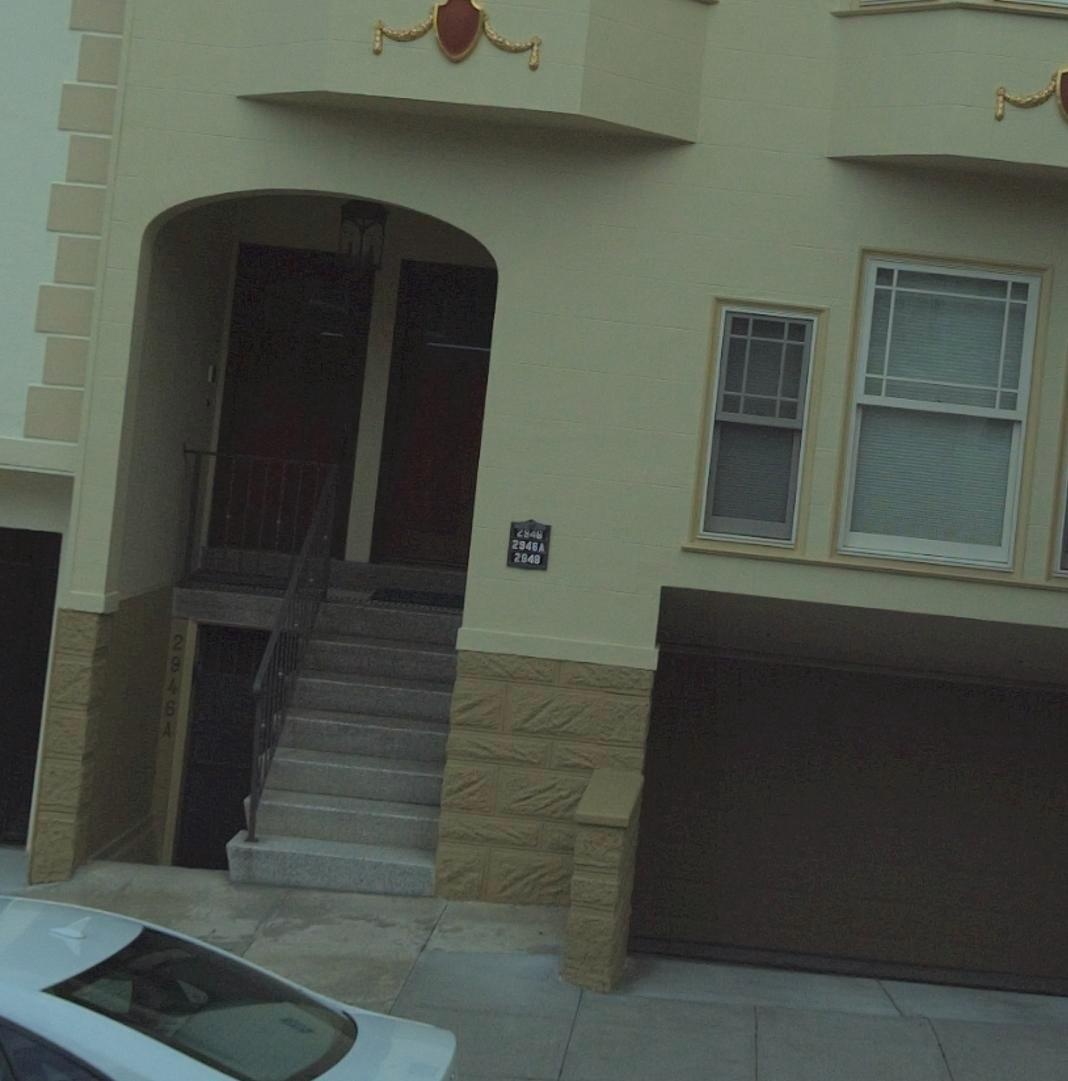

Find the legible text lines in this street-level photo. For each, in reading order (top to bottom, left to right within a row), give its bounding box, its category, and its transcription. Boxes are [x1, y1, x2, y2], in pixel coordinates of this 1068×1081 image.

[513, 525, 546, 542] StreetNumber: 284*
[509, 537, 548, 555] StreetNumber: 294* A
[511, 550, 543, 568] StreetNumber: 264*
[160, 631, 185, 741] StreetNumber: 2946 A